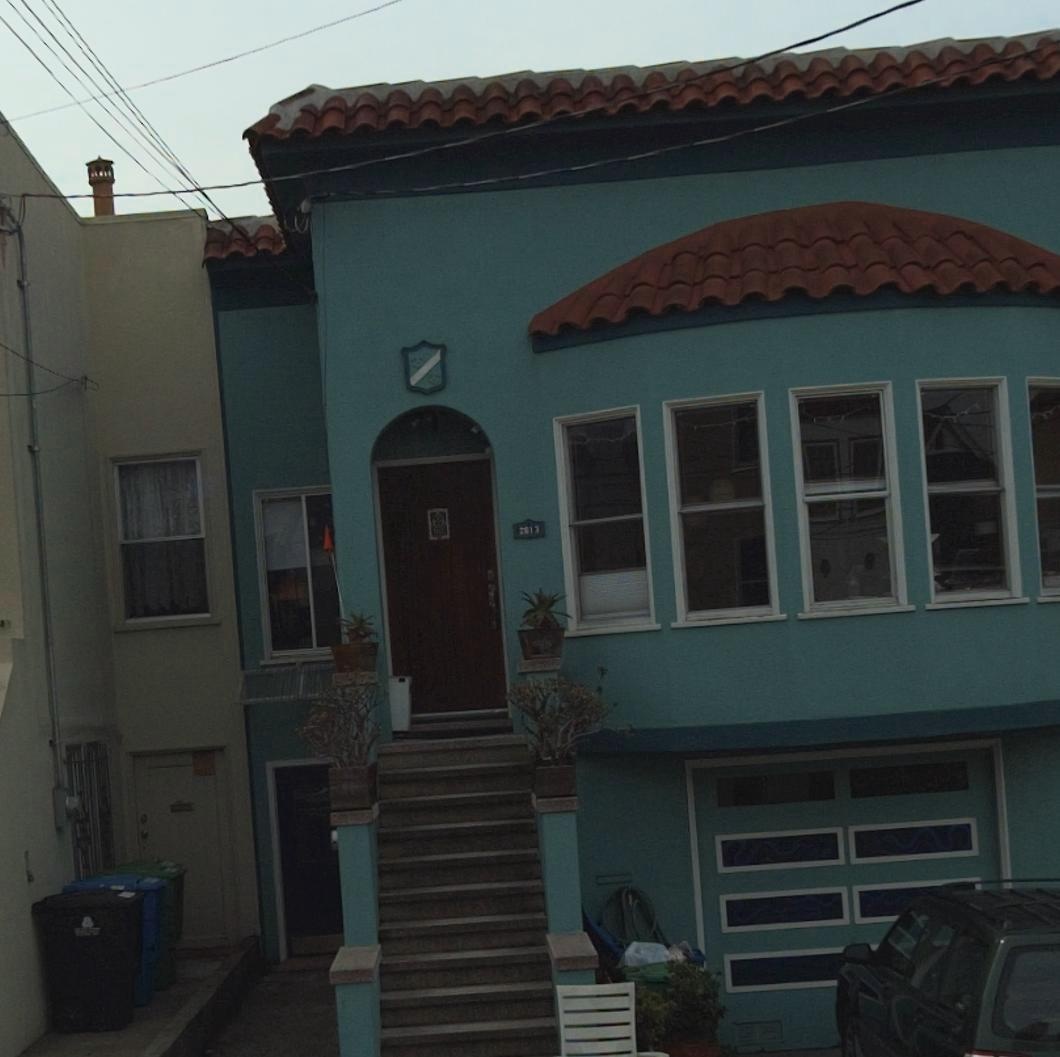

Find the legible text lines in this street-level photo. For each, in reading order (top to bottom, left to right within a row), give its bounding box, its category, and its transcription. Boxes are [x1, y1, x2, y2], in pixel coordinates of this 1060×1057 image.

[517, 525, 541, 536] StreetNumber: 2613